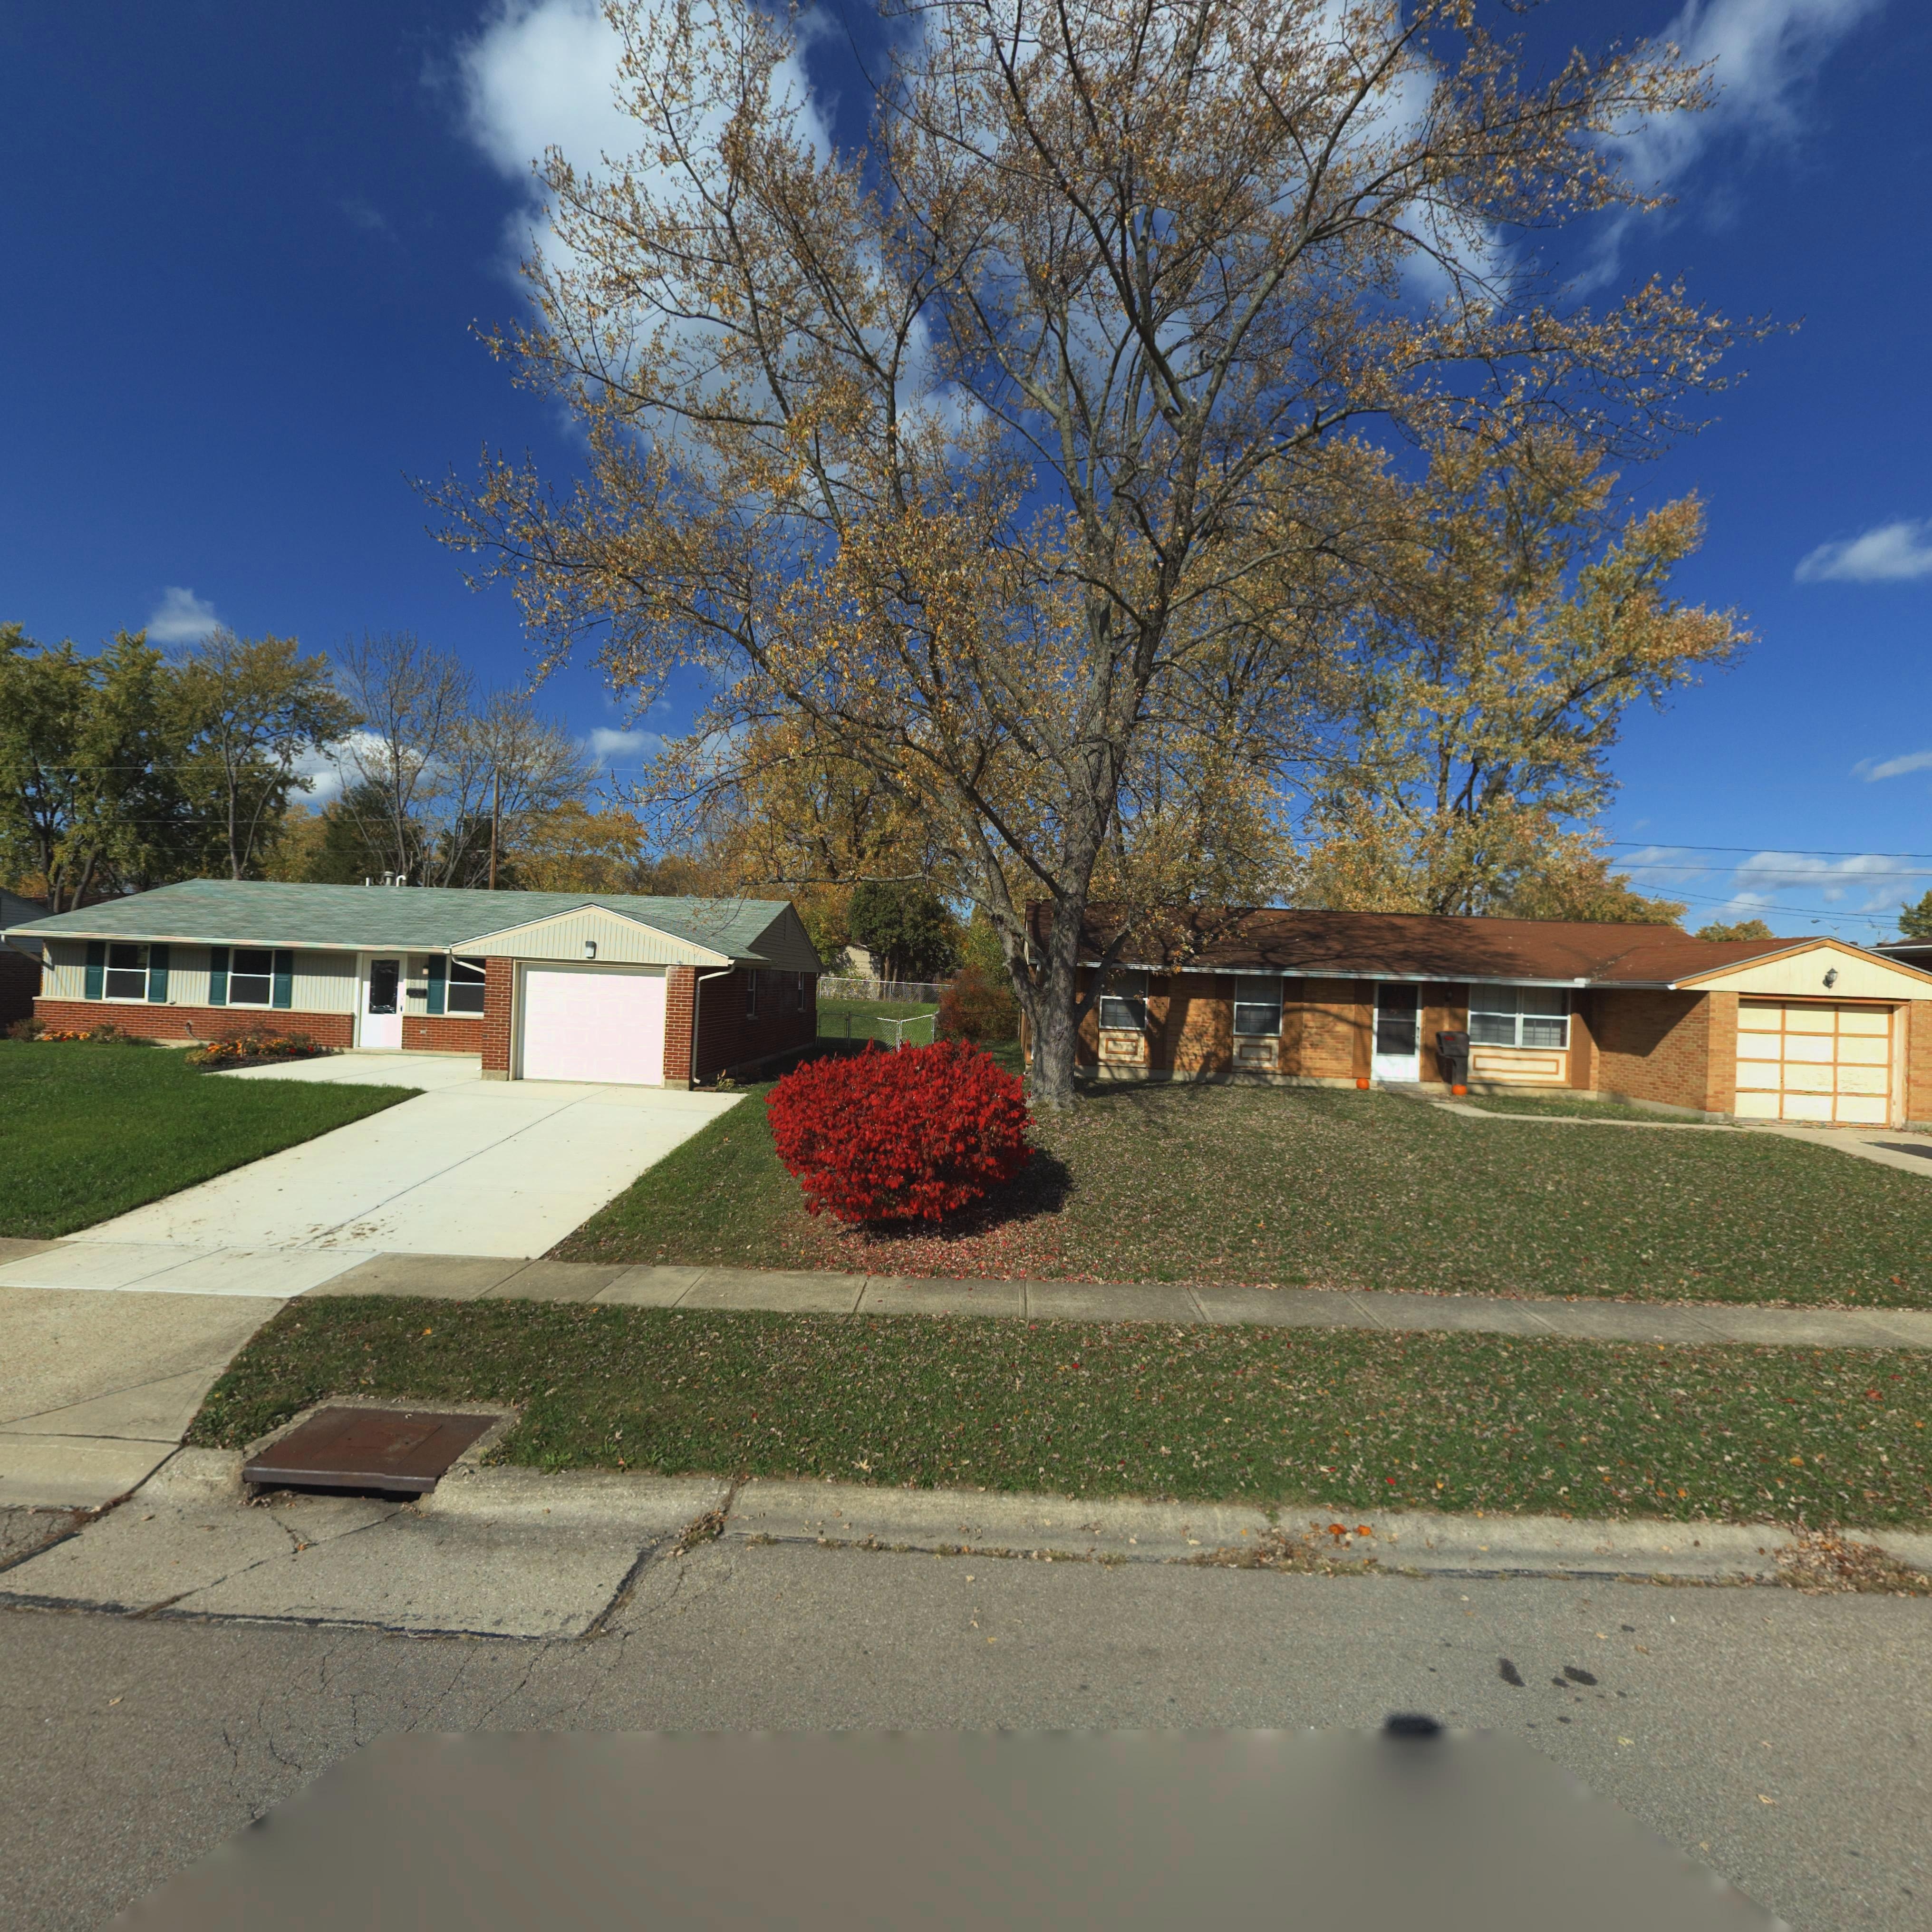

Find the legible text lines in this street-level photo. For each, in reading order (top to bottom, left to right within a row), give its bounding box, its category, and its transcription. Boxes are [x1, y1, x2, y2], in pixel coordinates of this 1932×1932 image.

[411, 963, 416, 987] StreetNumber: 7543